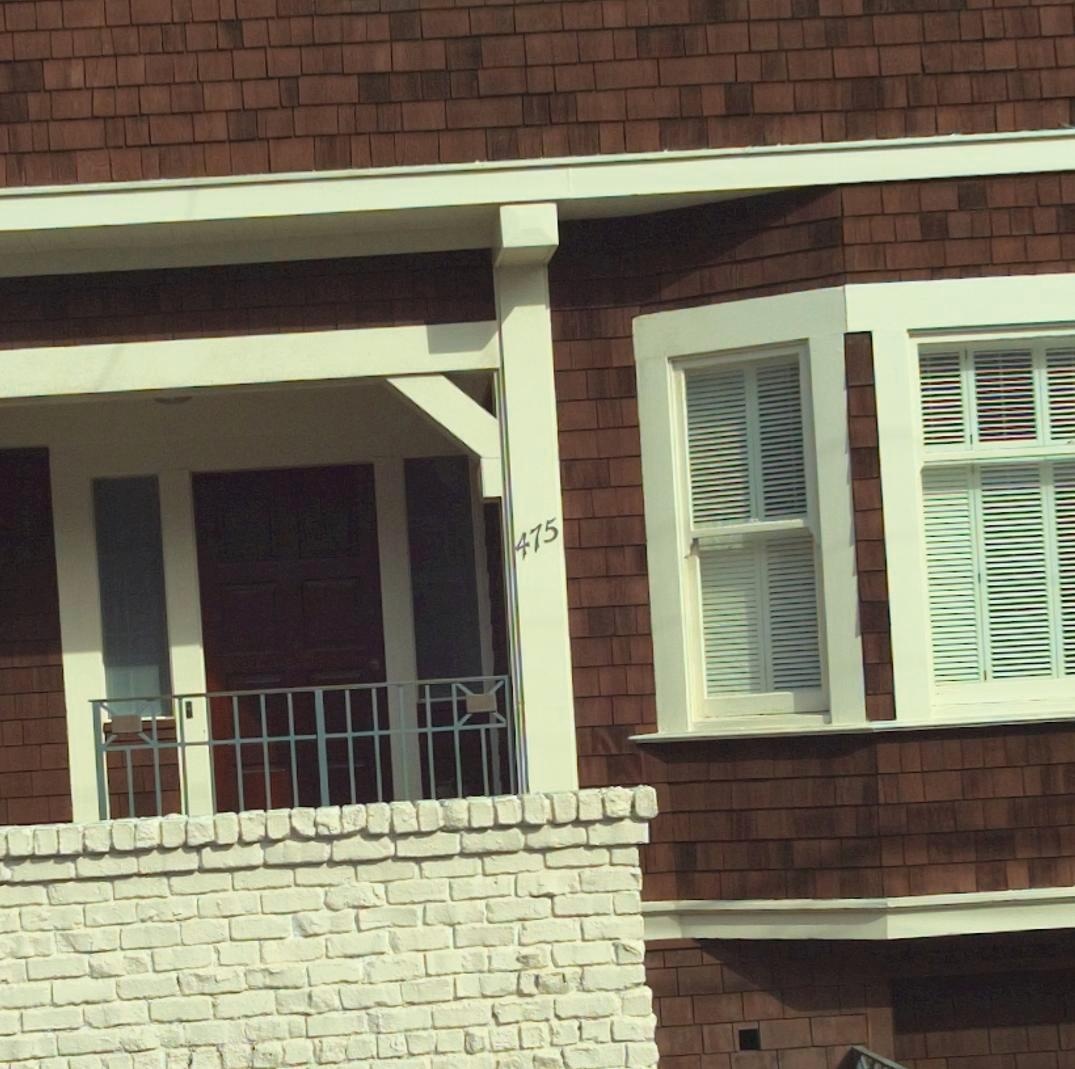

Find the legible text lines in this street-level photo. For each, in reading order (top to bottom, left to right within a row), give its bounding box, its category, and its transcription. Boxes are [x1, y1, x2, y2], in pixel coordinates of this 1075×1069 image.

[515, 513, 559, 563] StreetNumber: 475